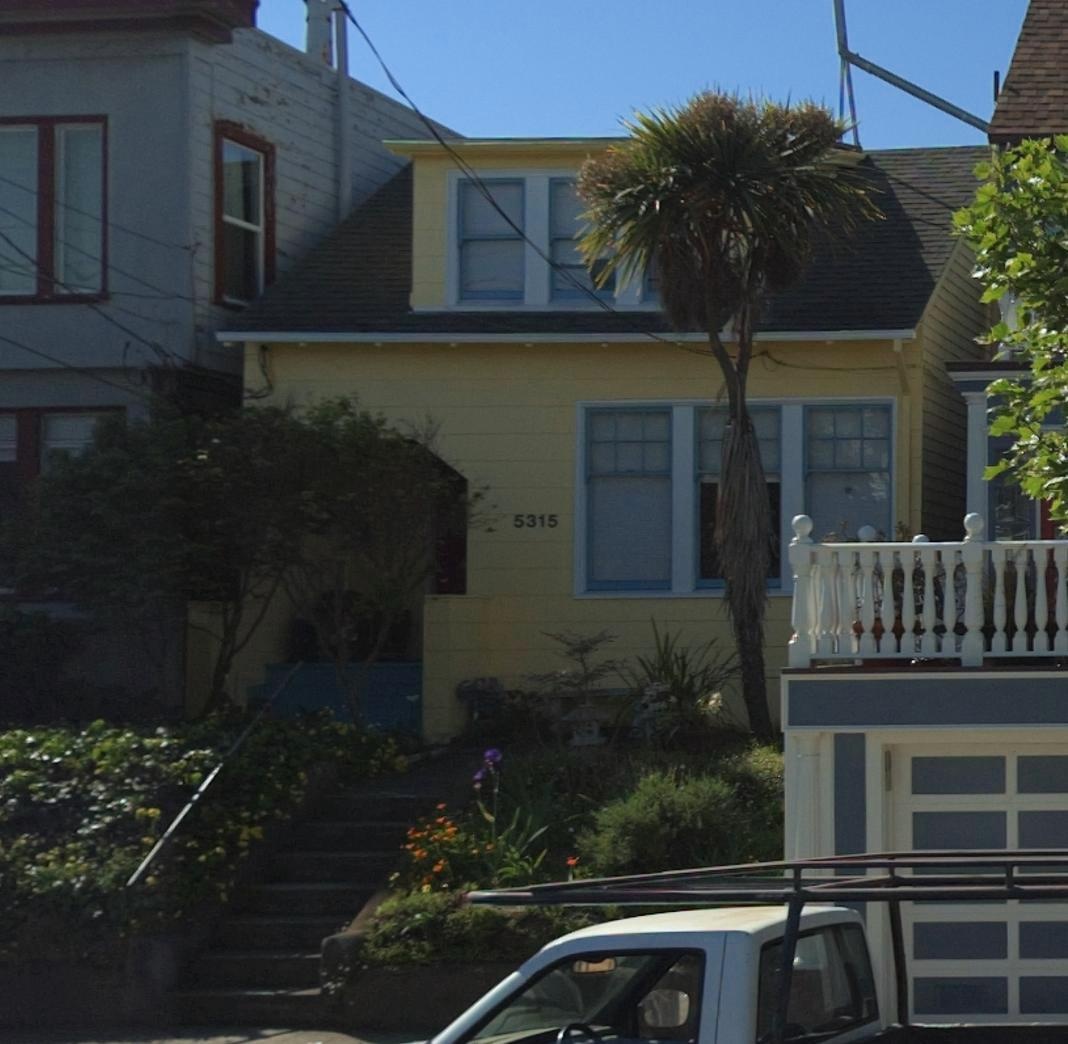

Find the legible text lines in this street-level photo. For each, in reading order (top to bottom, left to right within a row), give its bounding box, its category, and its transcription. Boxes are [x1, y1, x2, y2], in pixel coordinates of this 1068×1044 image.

[512, 512, 558, 529] StreetNumber: 5315